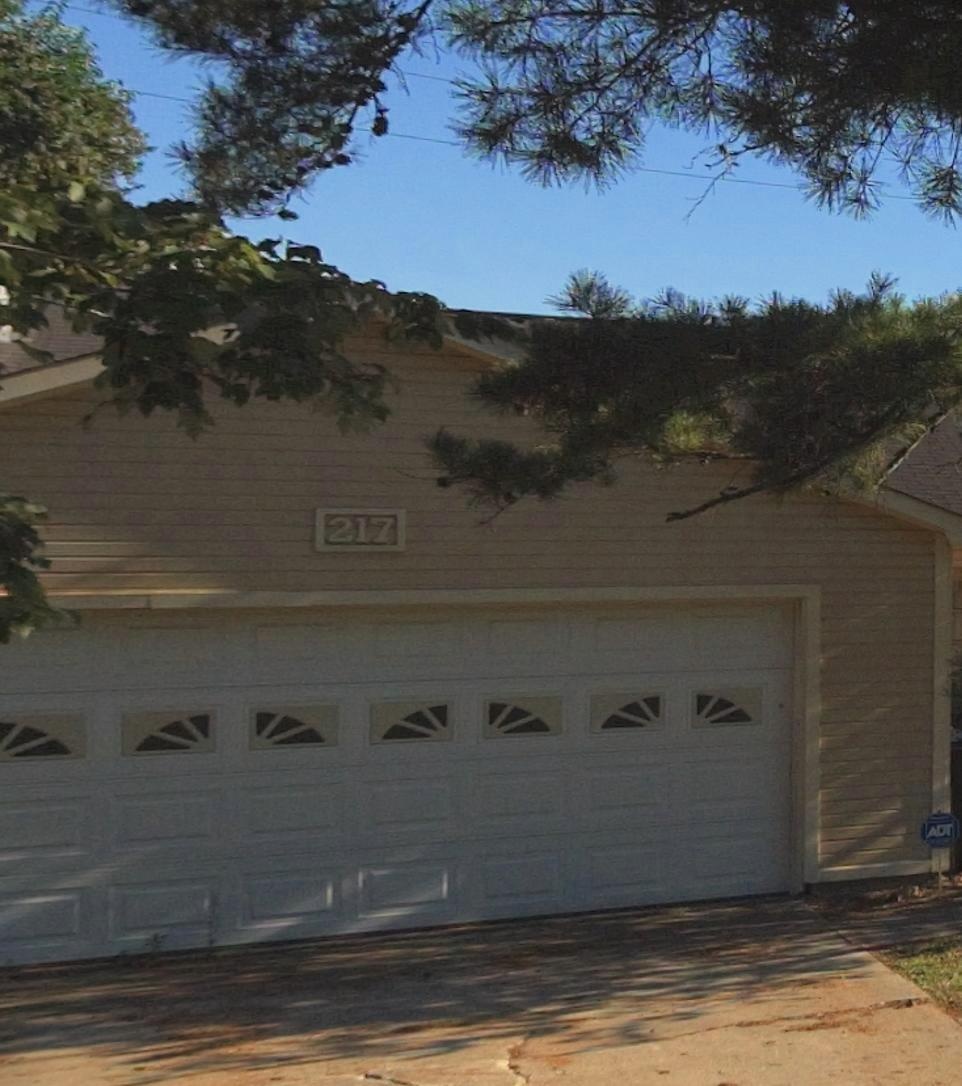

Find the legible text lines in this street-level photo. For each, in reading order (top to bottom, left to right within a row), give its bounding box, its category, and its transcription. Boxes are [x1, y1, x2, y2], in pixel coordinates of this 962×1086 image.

[327, 515, 395, 543] StreetNumber: 217
[925, 823, 956, 838] None: ADT